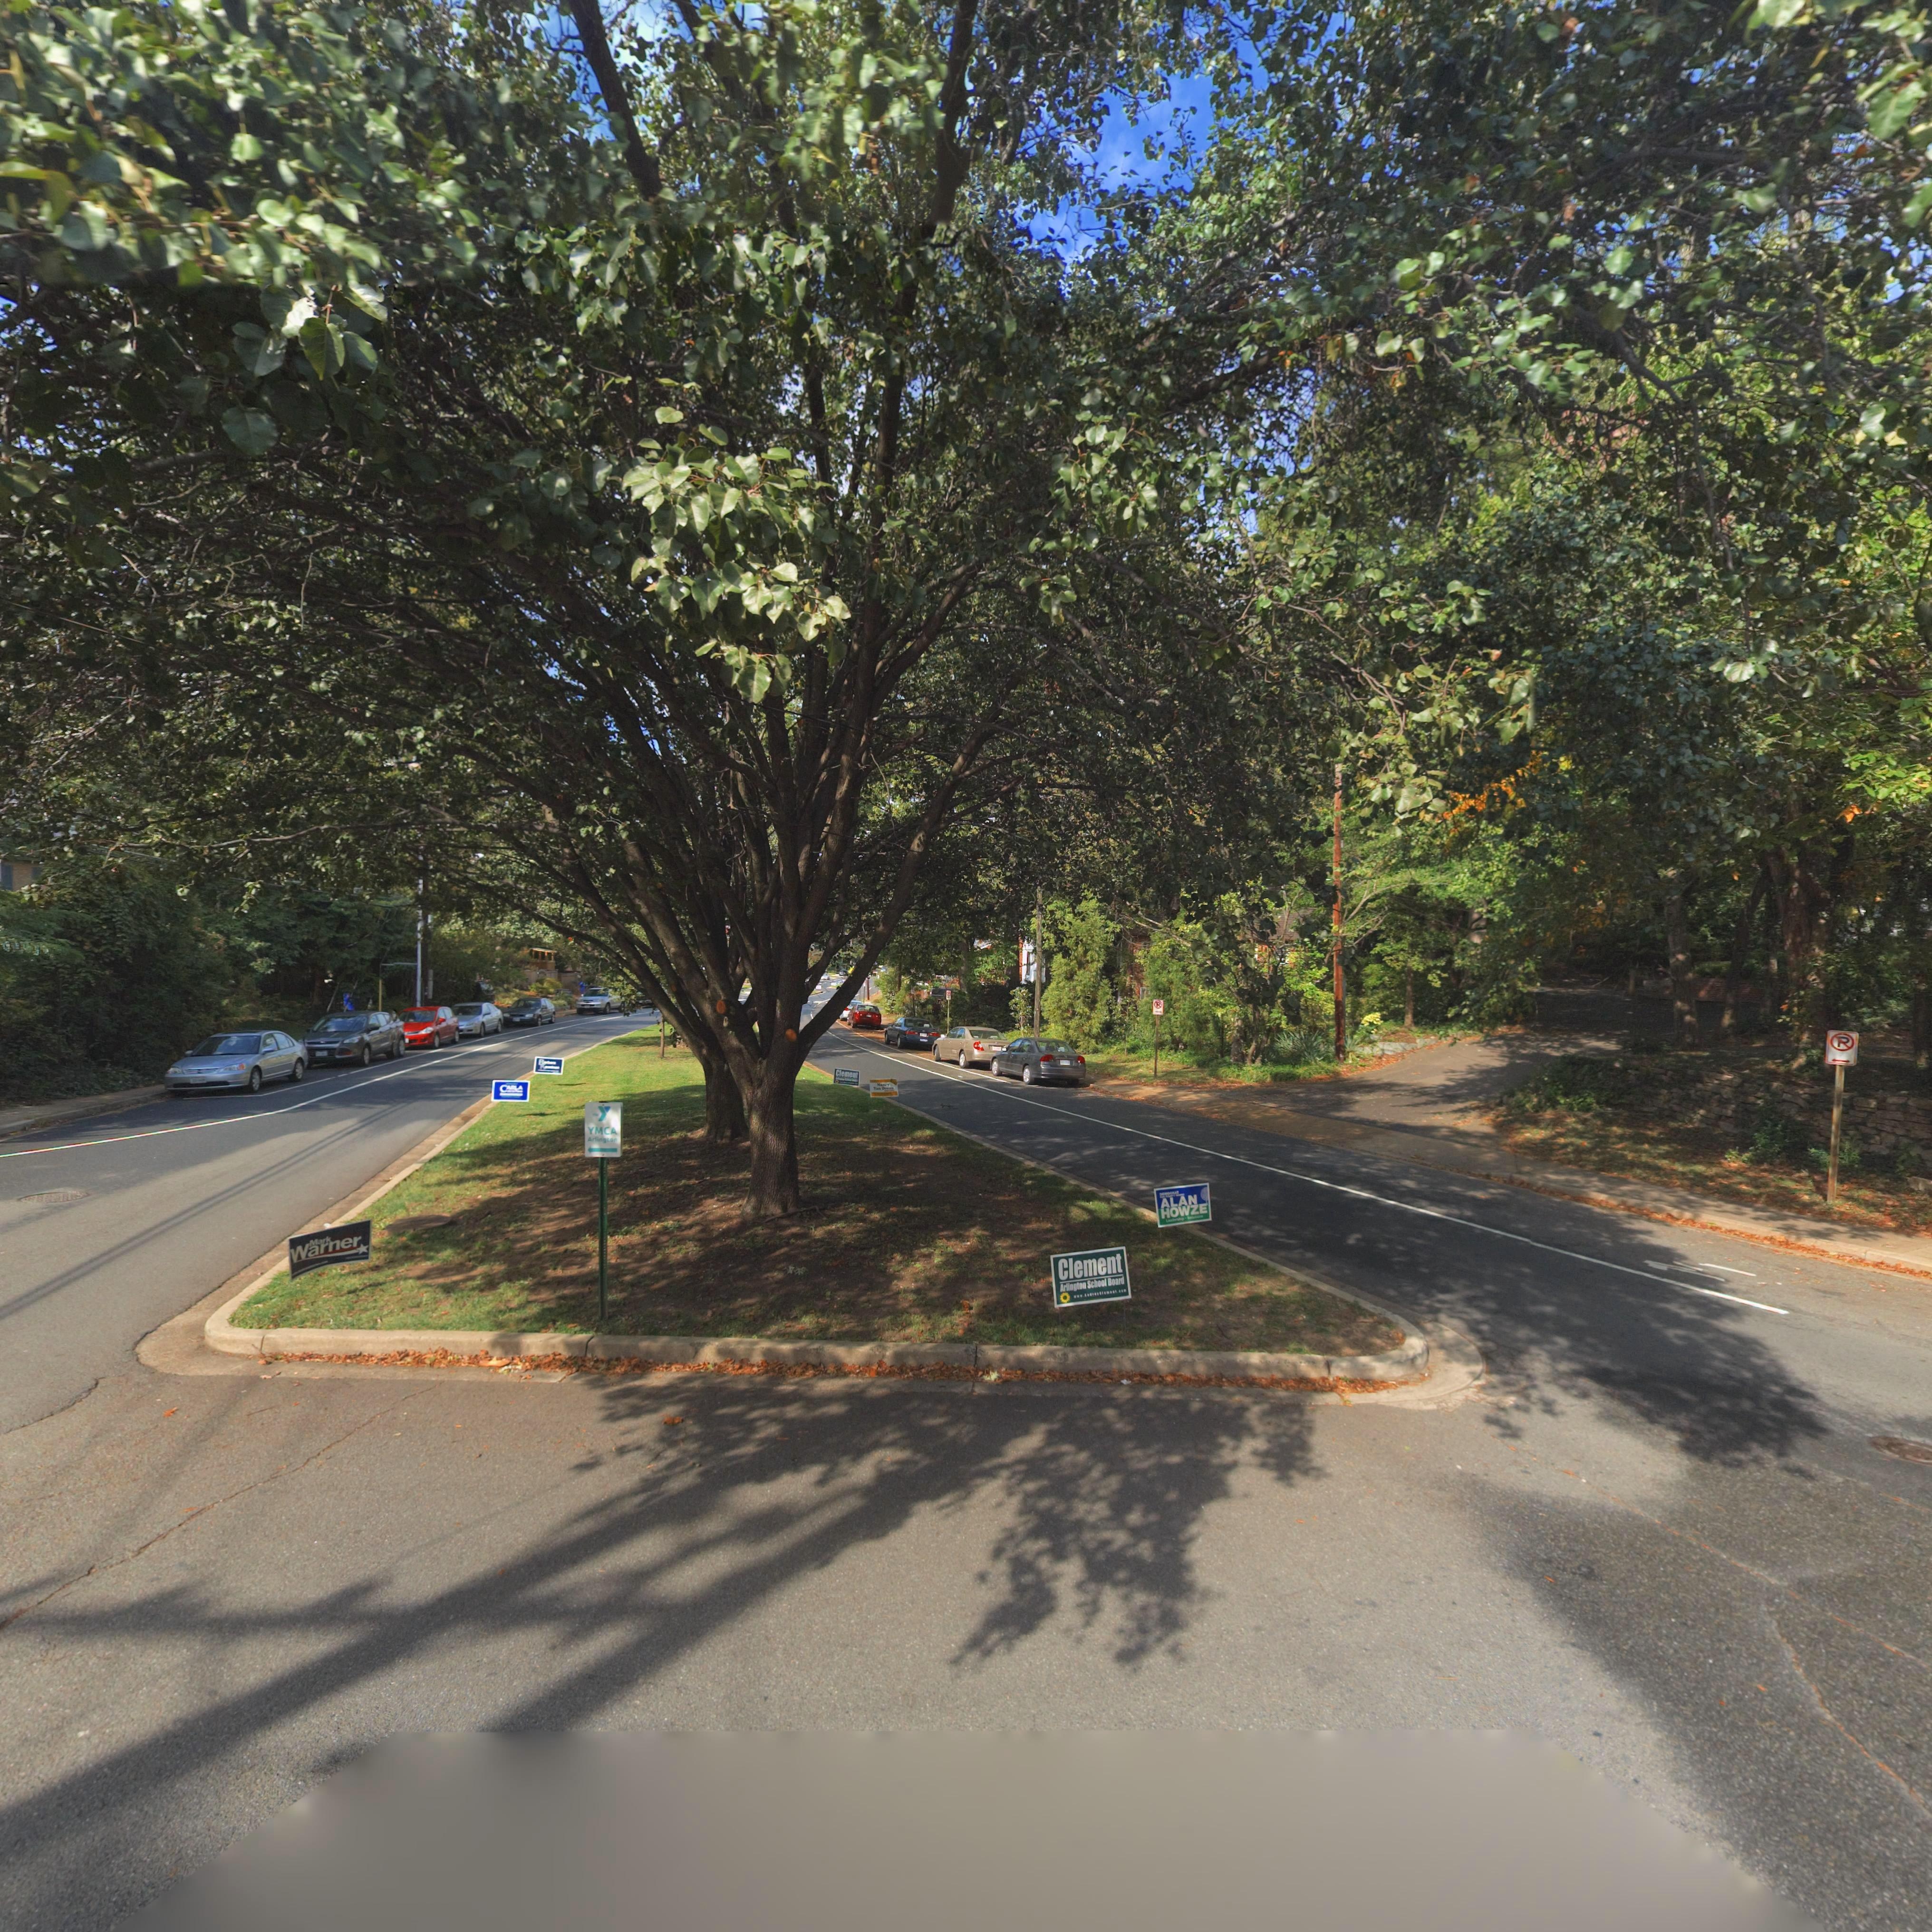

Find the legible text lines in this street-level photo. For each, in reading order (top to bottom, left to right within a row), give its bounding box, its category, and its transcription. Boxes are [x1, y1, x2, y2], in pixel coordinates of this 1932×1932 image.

[834, 1068, 859, 1079] None: Clement
[586, 1124, 619, 1137] None: YMCA
[586, 1135, 619, 1145] None: Ar*ington
[1160, 1193, 1198, 1210] None: ALAN
[1159, 1201, 1209, 1221] None: HOWZE
[309, 1234, 333, 1248] None: Mark
[287, 1234, 363, 1265] None: Warner
[1057, 1252, 1124, 1282] None: Clement
[1059, 1274, 1126, 1294] None: Arlington School Board